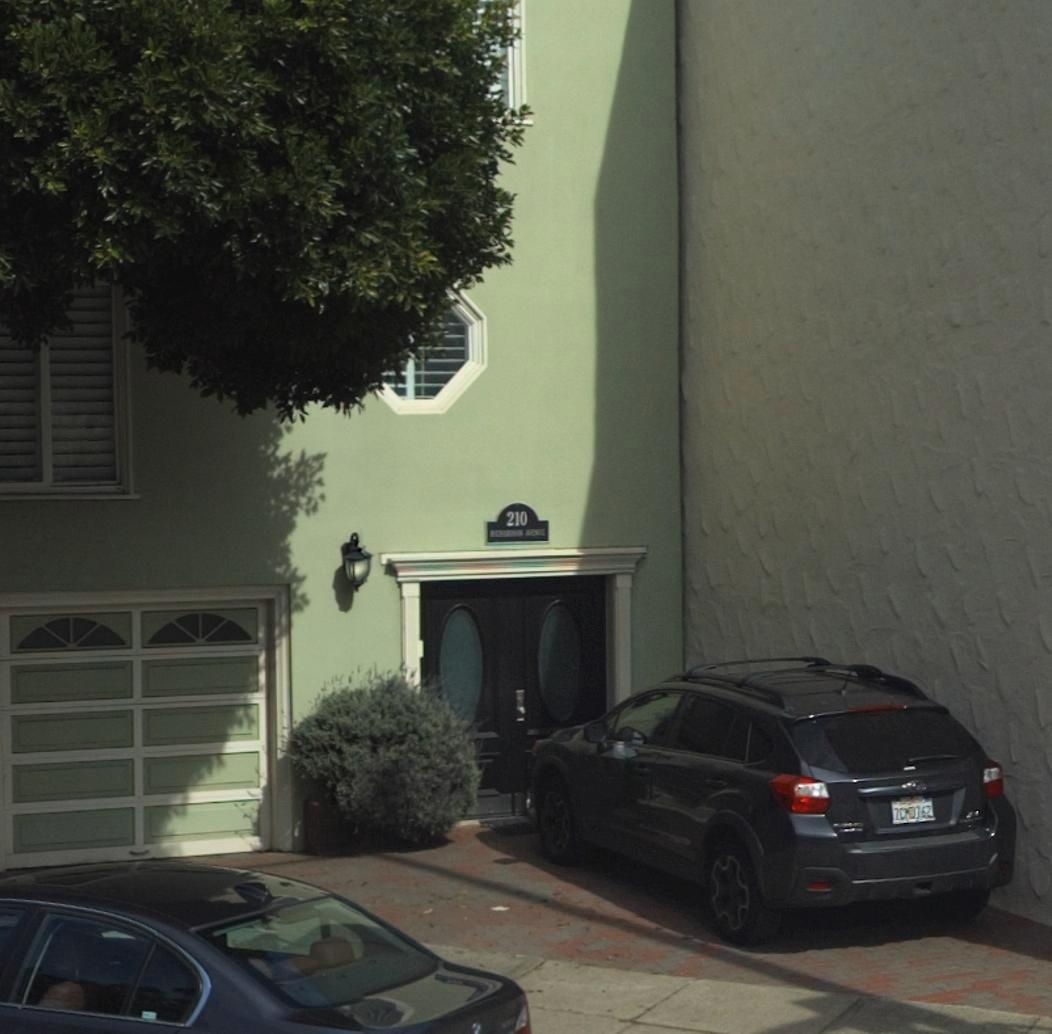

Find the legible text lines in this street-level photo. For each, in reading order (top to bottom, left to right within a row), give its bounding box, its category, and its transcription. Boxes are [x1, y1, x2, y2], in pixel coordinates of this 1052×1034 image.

[504, 509, 530, 529] StreetNumber: 210